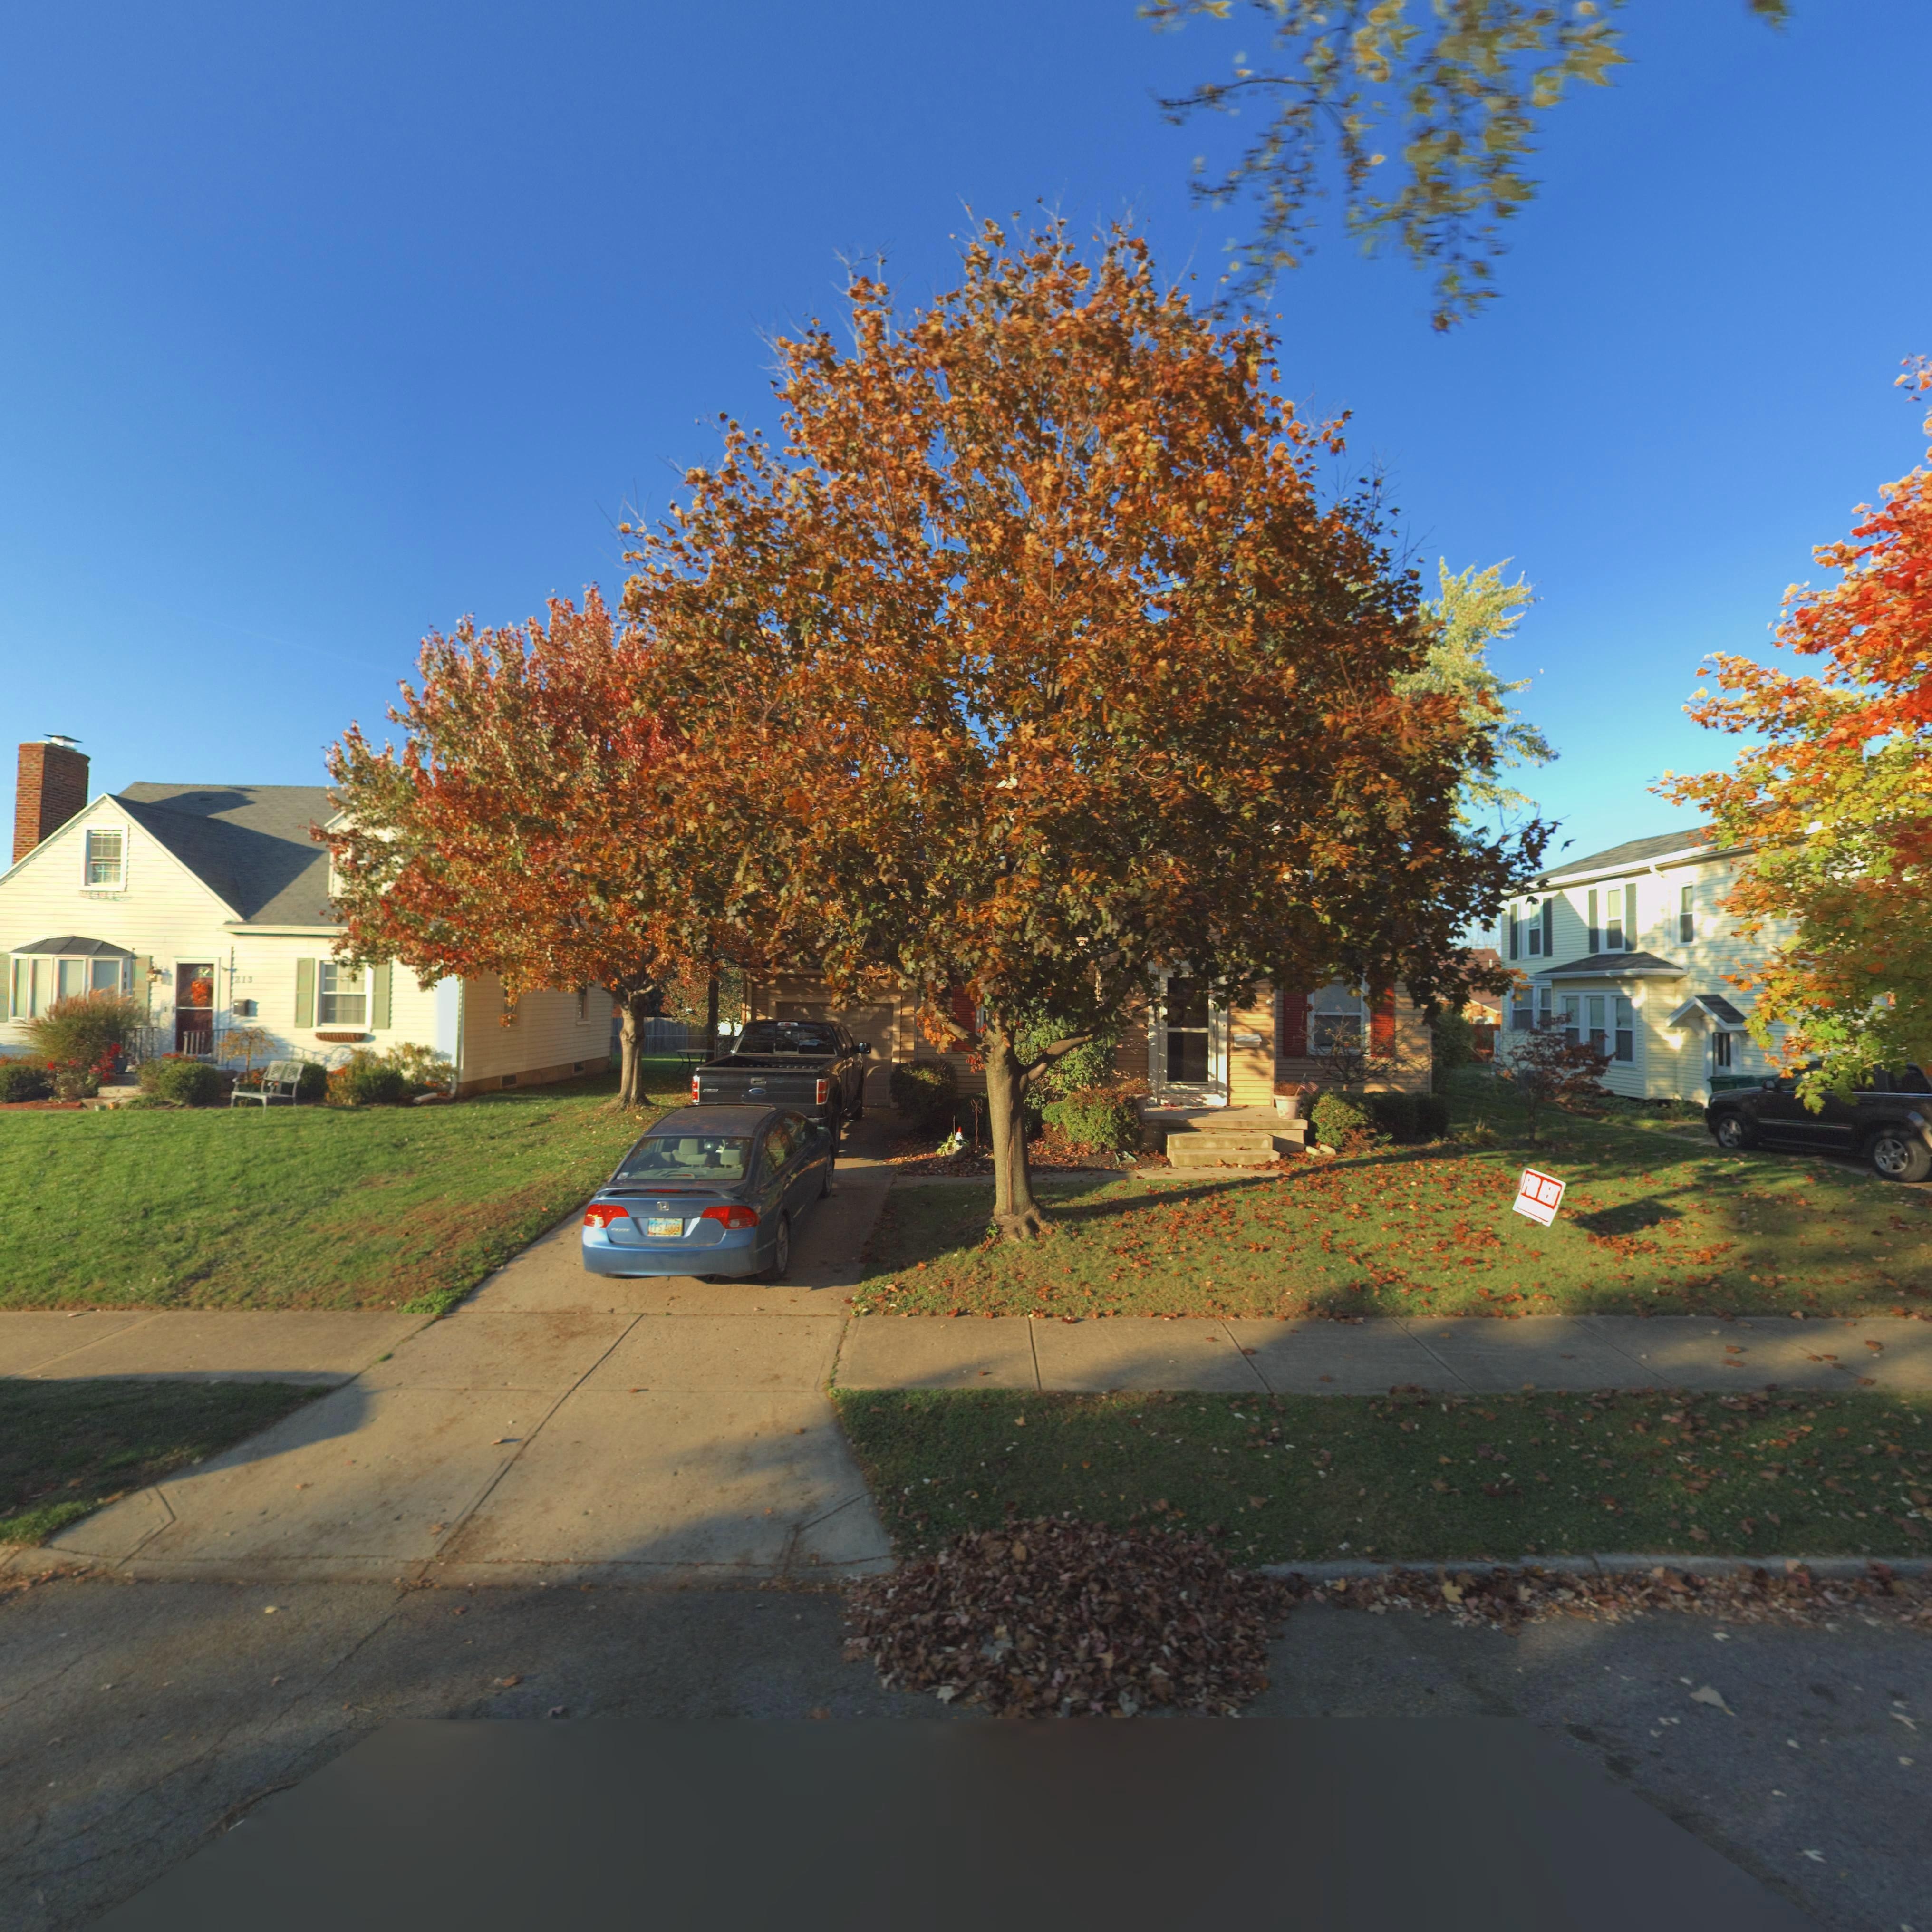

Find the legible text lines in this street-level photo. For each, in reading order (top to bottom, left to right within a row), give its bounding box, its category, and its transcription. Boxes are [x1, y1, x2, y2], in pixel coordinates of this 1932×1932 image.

[234, 976, 253, 983] StreetNumber: 213